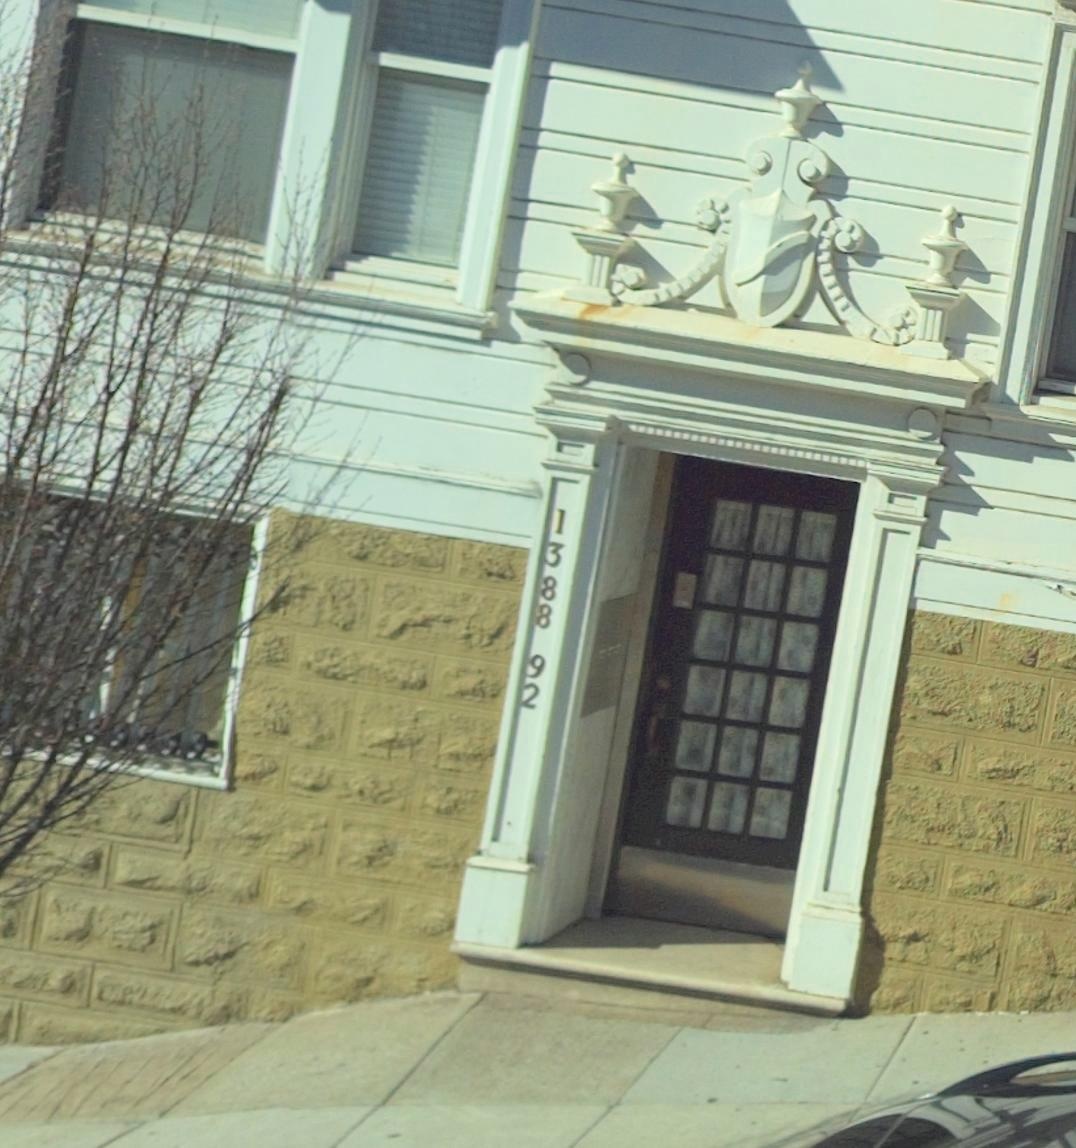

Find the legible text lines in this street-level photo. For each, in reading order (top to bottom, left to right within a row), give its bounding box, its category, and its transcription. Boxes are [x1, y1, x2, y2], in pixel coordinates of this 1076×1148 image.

[530, 506, 571, 632] StreetNumber: 1388
[516, 651, 552, 714] StreetNumber: 92